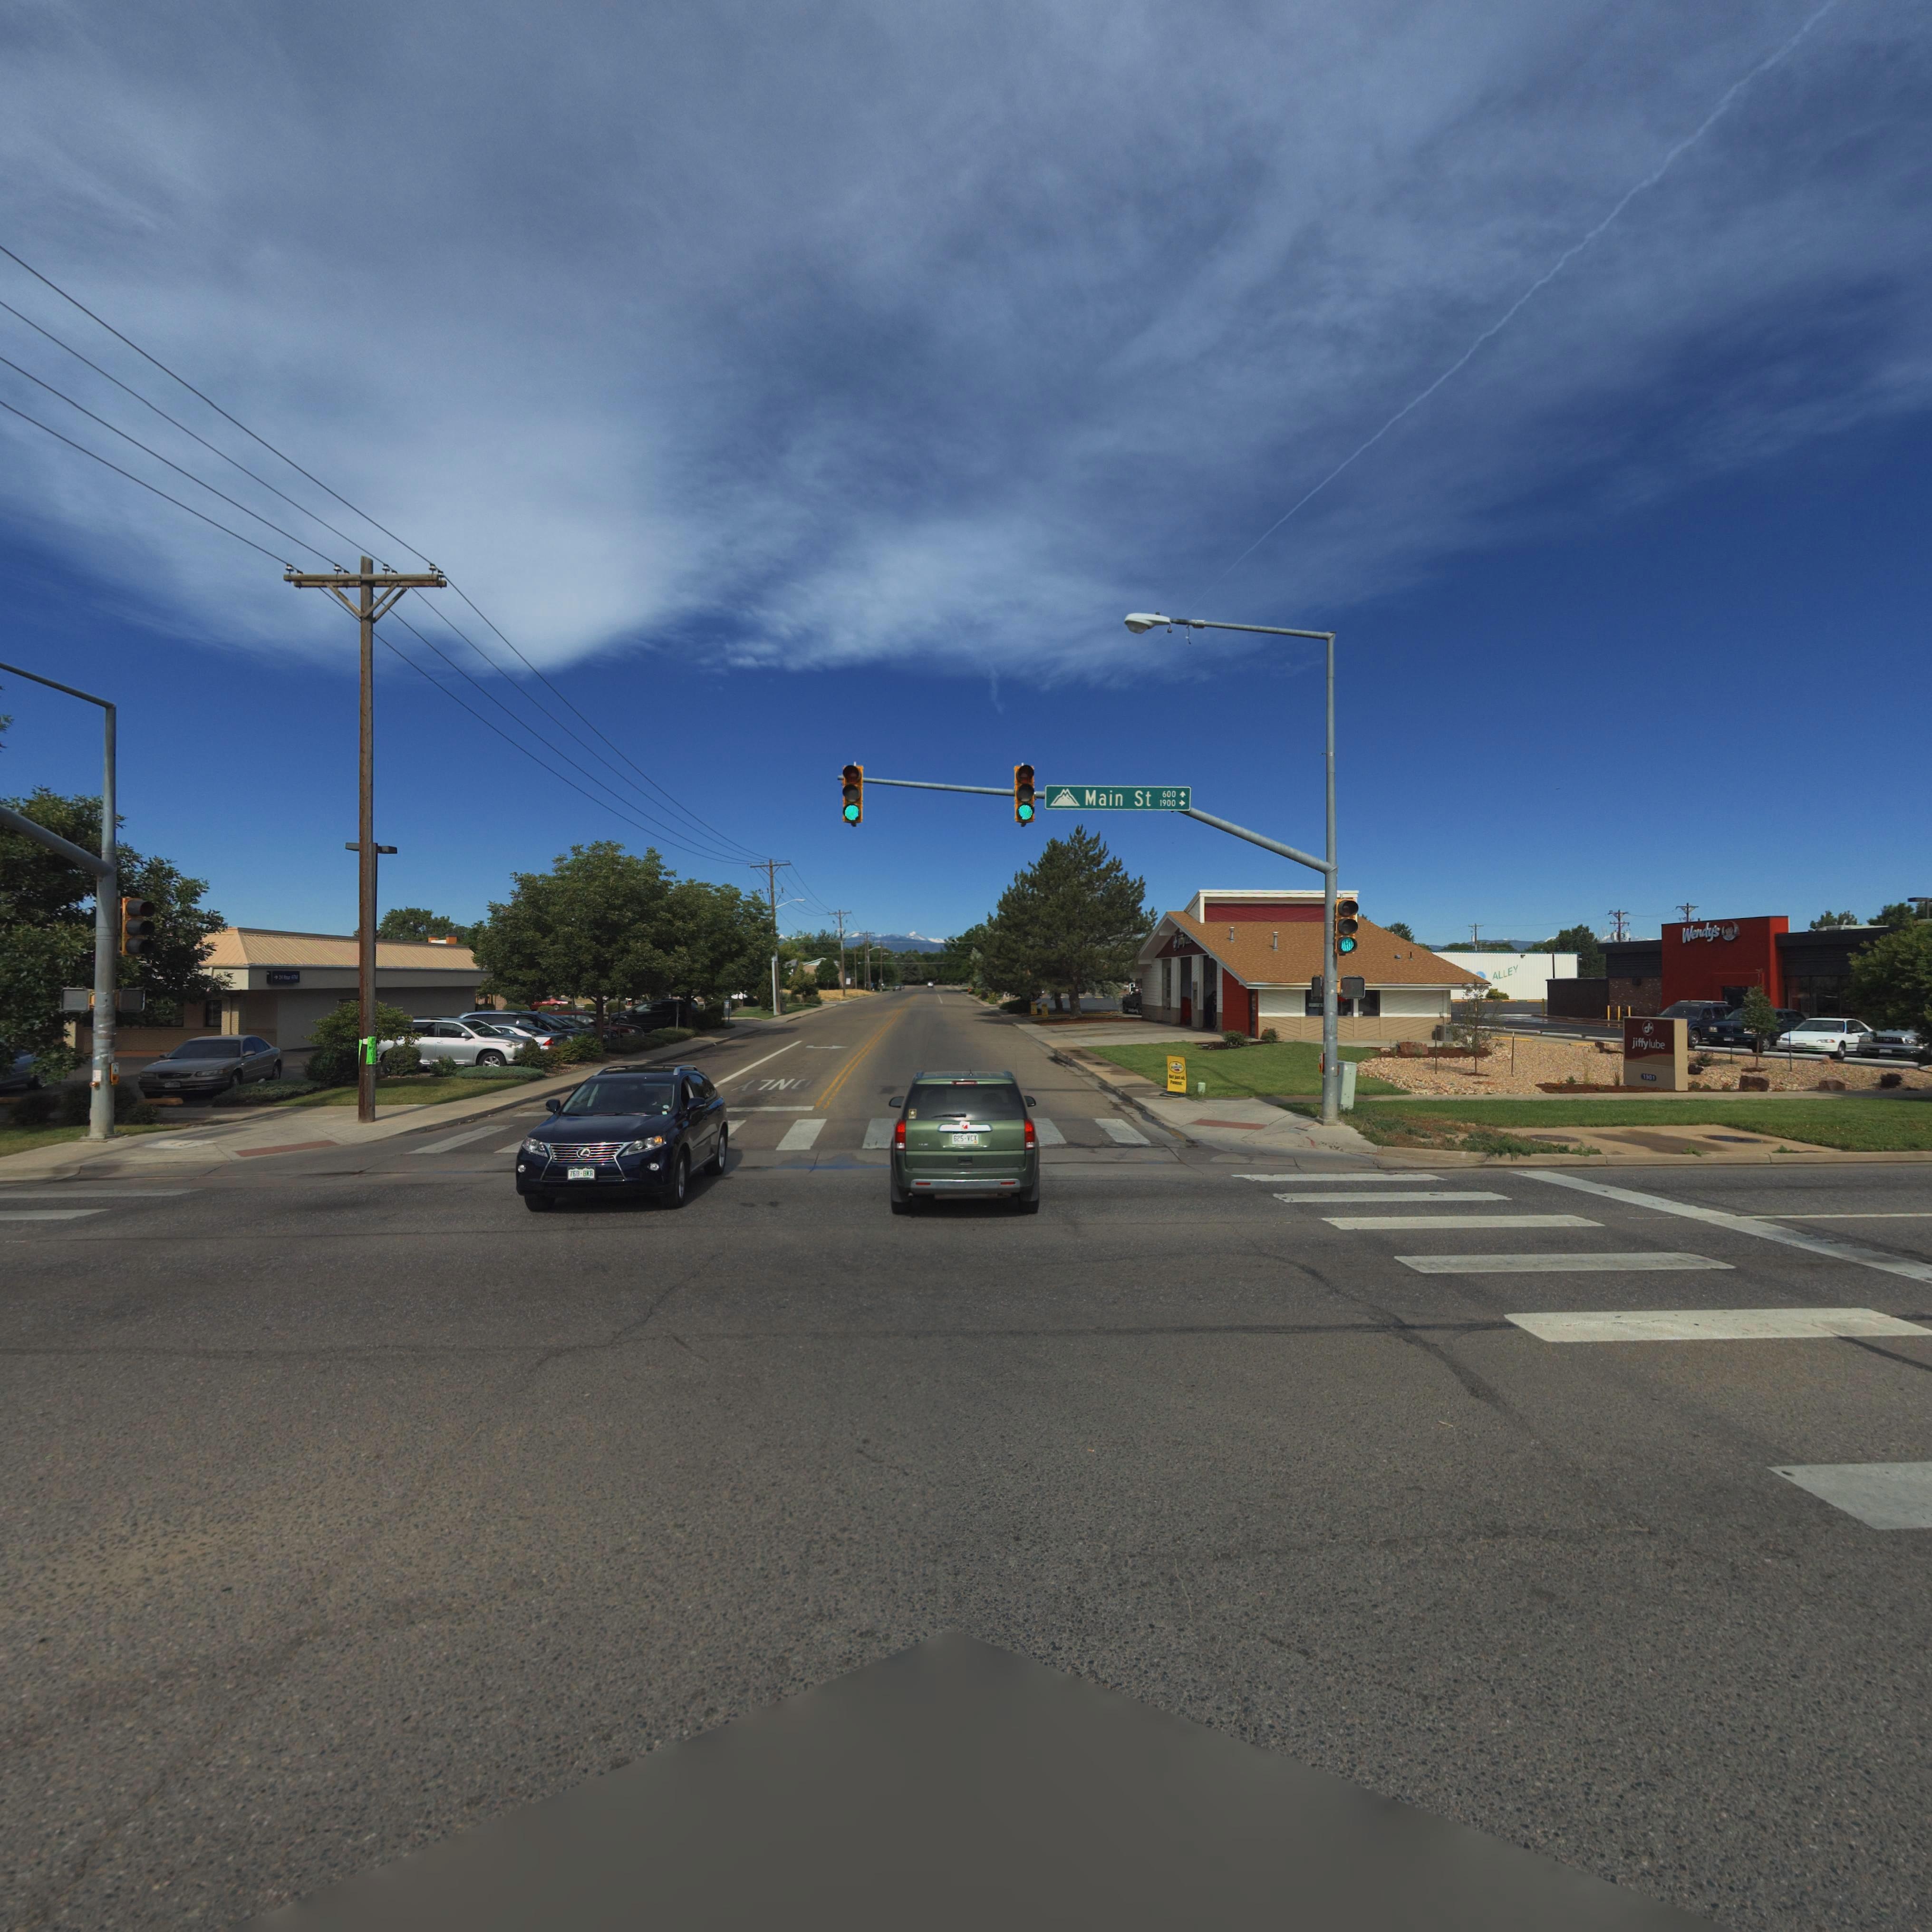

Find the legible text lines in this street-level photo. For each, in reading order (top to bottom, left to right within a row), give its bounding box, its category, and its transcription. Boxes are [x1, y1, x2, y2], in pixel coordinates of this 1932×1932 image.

[1084, 788, 1152, 807] StreetName: Main St
[1161, 789, 1176, 798] StreetNumberRange: 600
[1159, 799, 1187, 807] StreetNumberRange: 1900 ->
[1681, 921, 1721, 944] BusinessName: Wendy's
[1492, 964, 1518, 979] BusinessName: ALLEY
[1631, 1036, 1665, 1050] BusinessName: jiffylube
[1642, 1073, 1655, 1080] StreetNumber: 1901